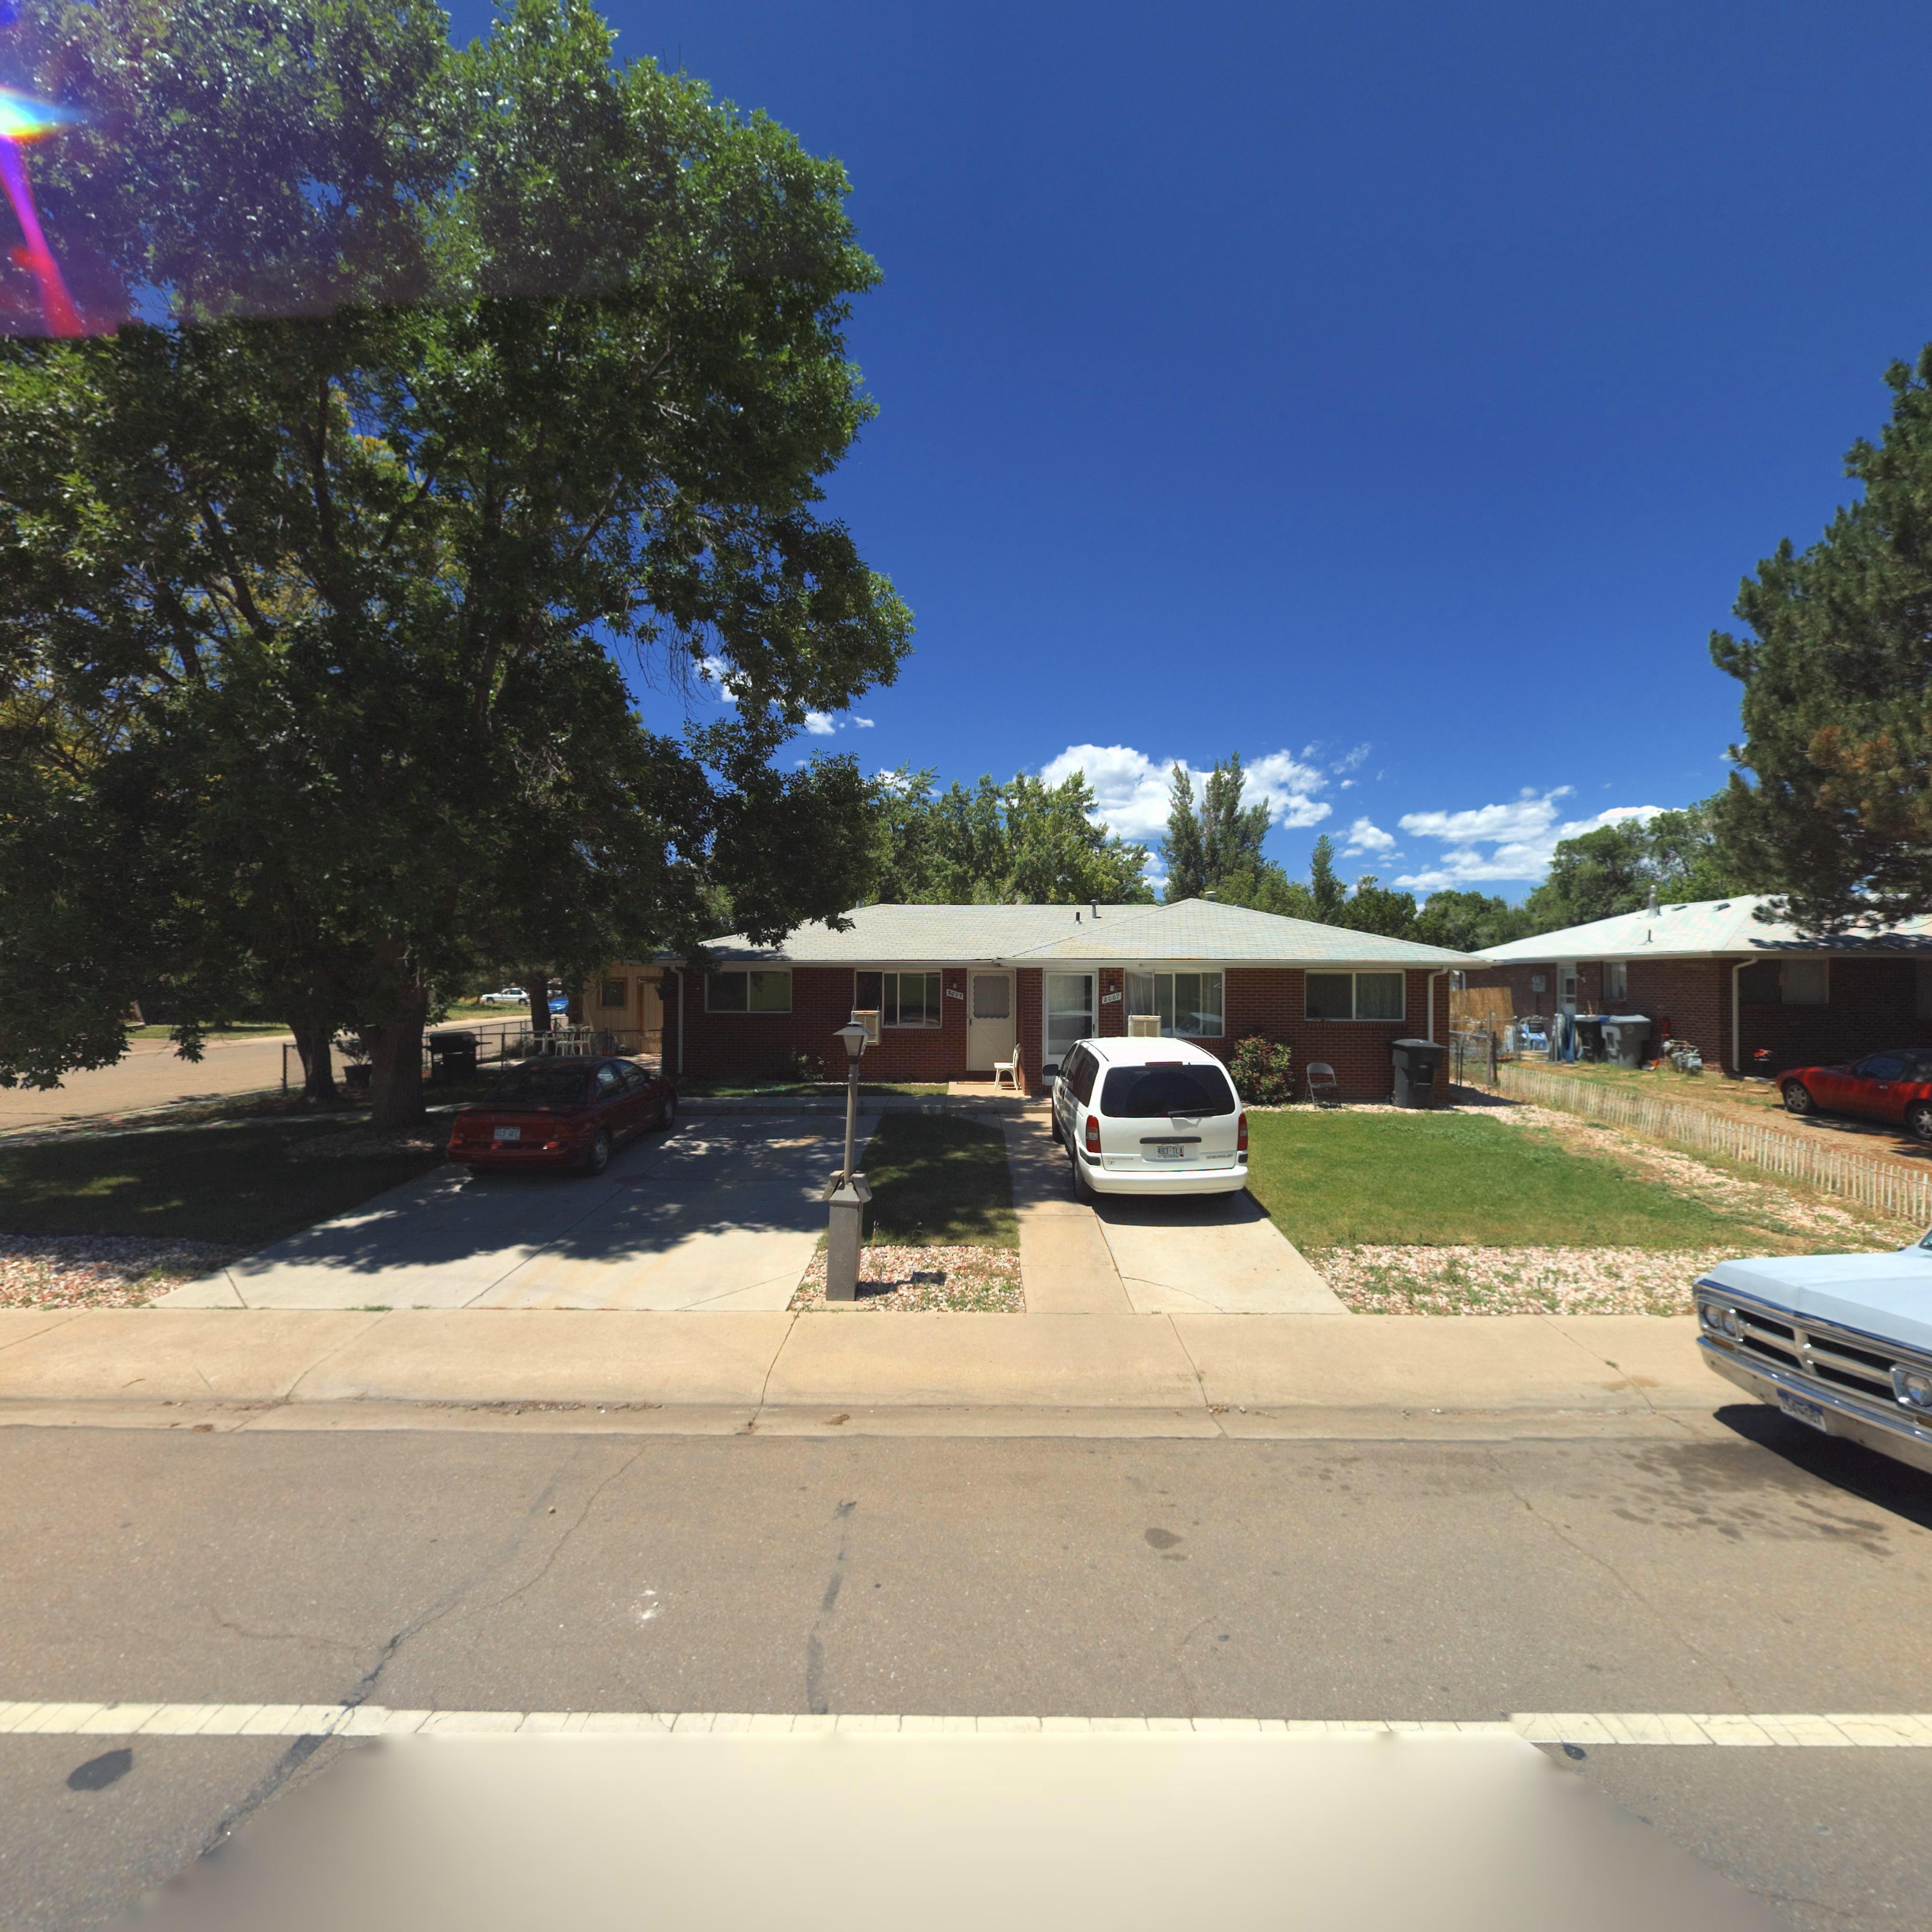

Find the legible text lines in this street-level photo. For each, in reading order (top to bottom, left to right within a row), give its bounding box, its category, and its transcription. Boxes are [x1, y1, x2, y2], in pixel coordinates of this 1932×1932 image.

[947, 989, 962, 998] StreetNumber: 2005
[1103, 993, 1120, 1003] StreetNumber: 2007